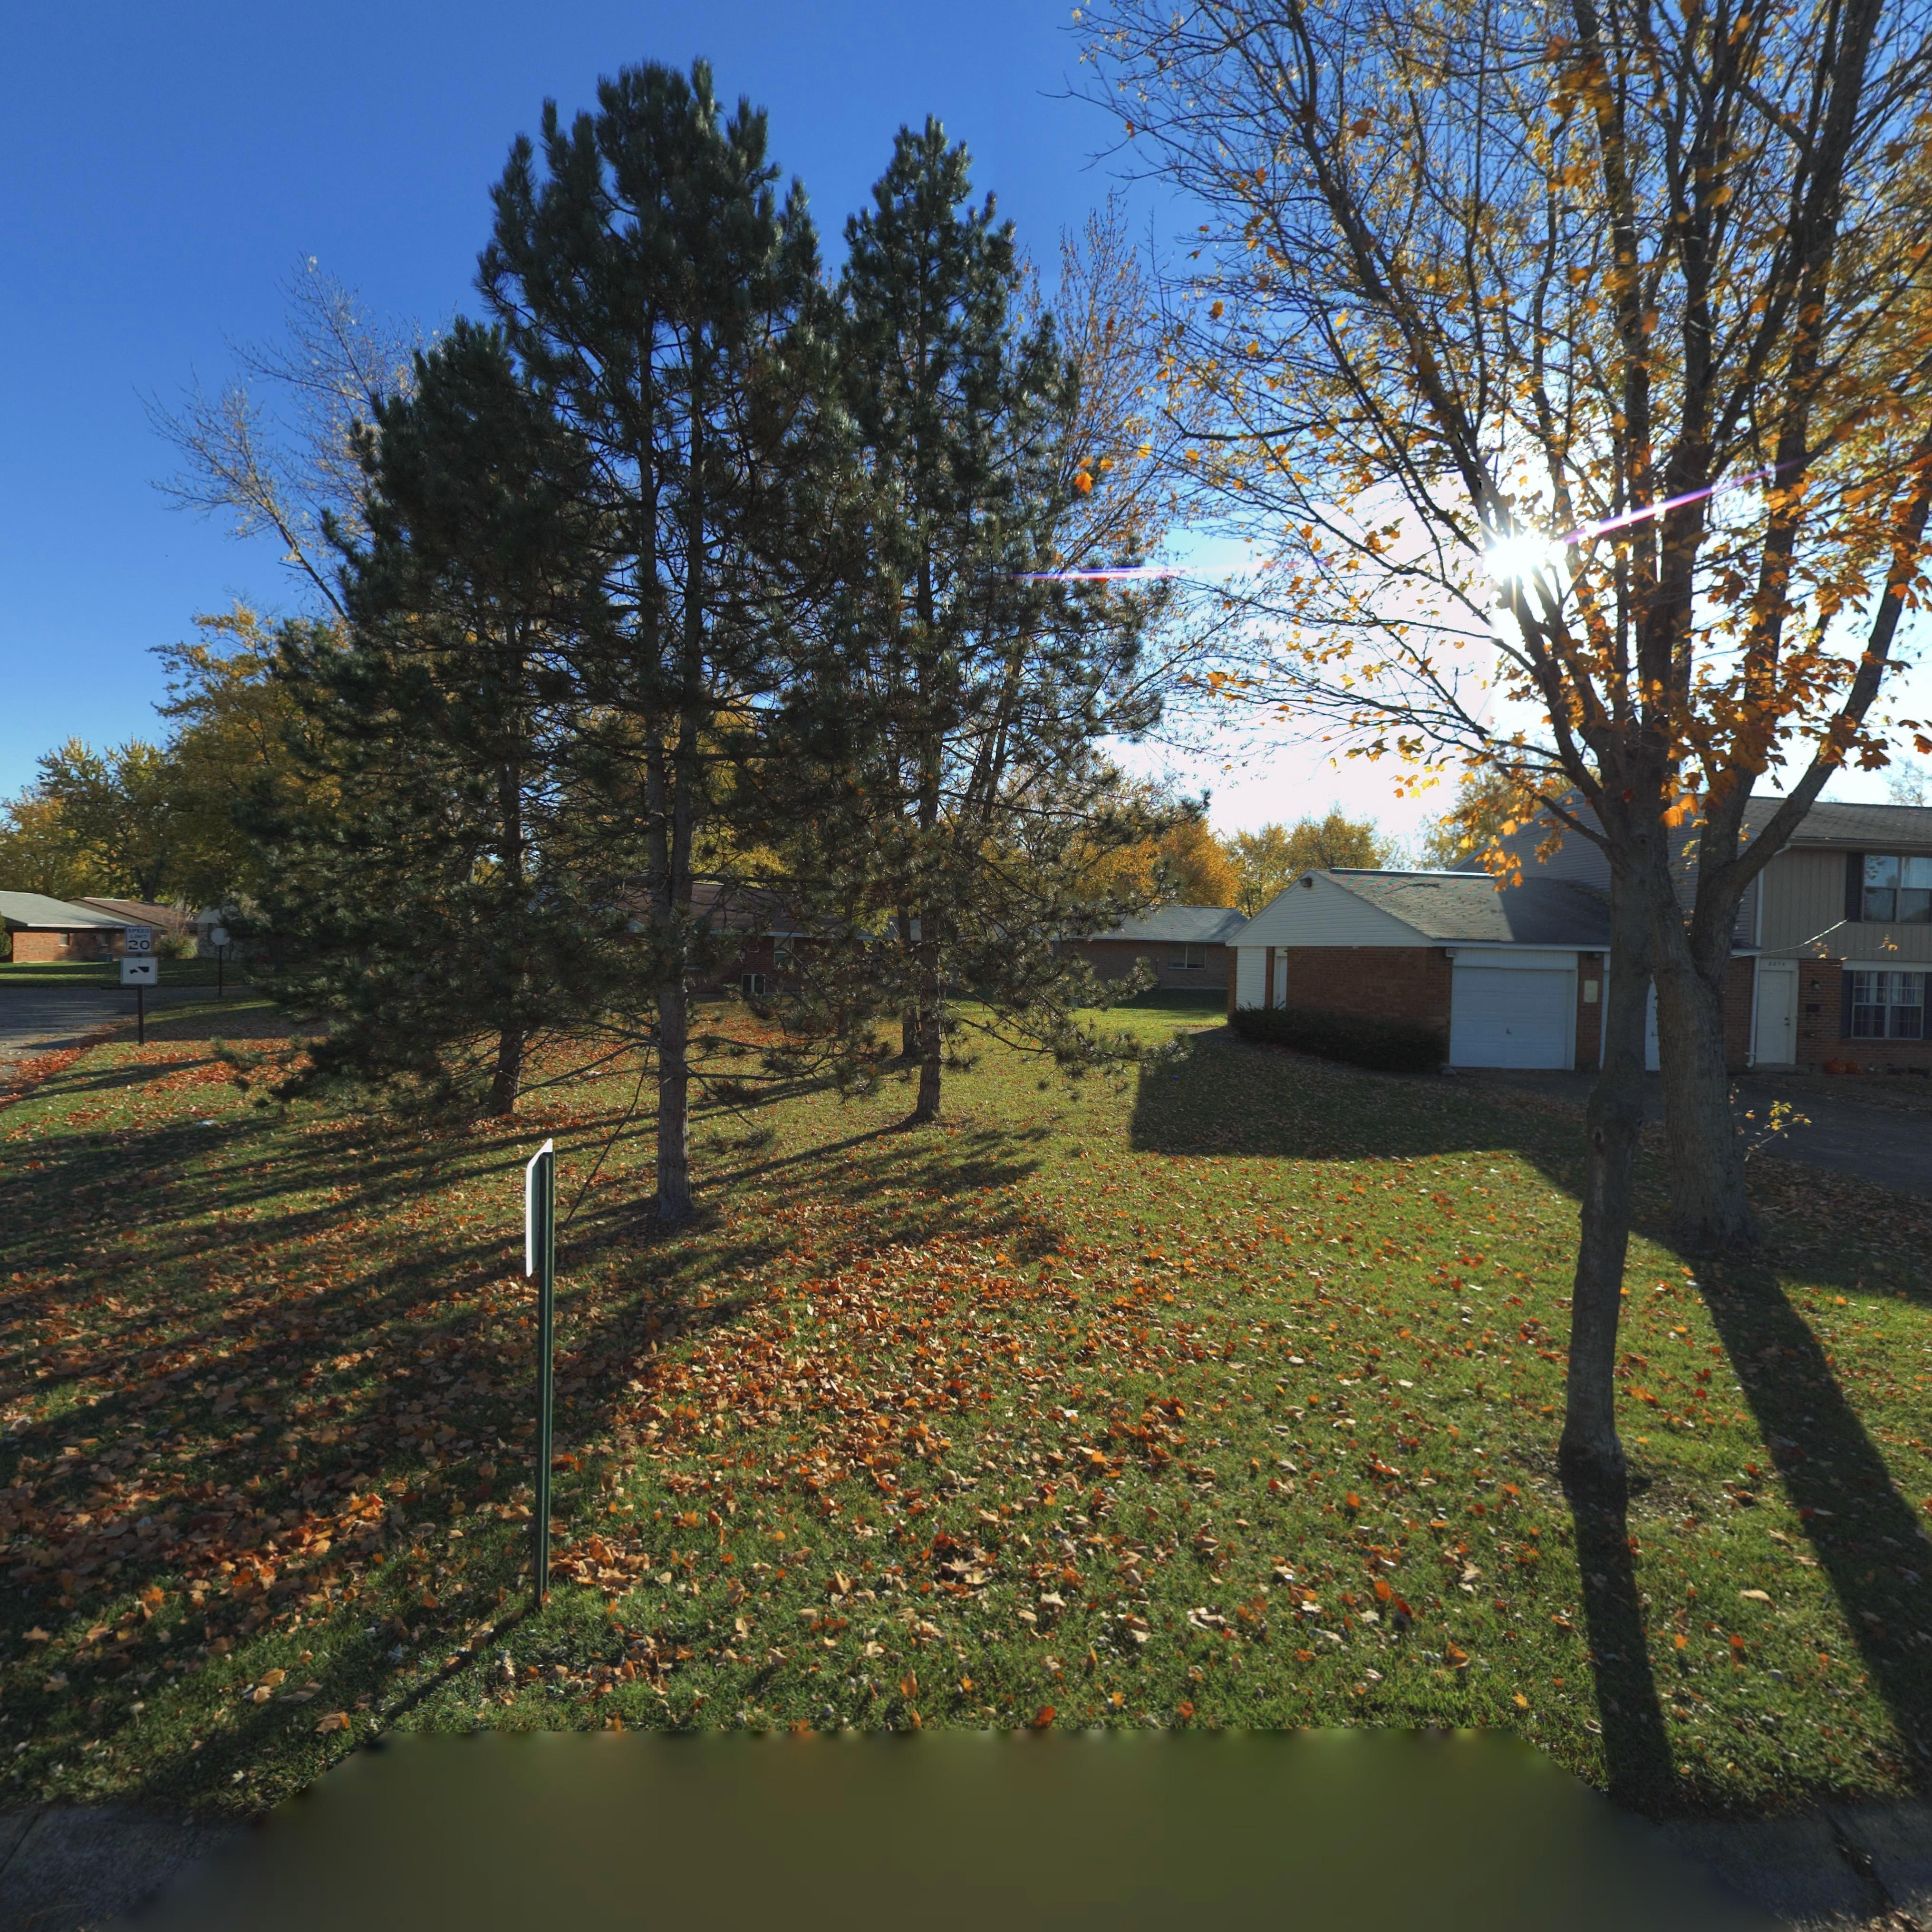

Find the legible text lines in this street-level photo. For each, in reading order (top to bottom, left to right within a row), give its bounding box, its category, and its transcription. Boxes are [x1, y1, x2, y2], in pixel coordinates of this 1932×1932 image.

[1767, 961, 1786, 967] StreetNumber: 808*